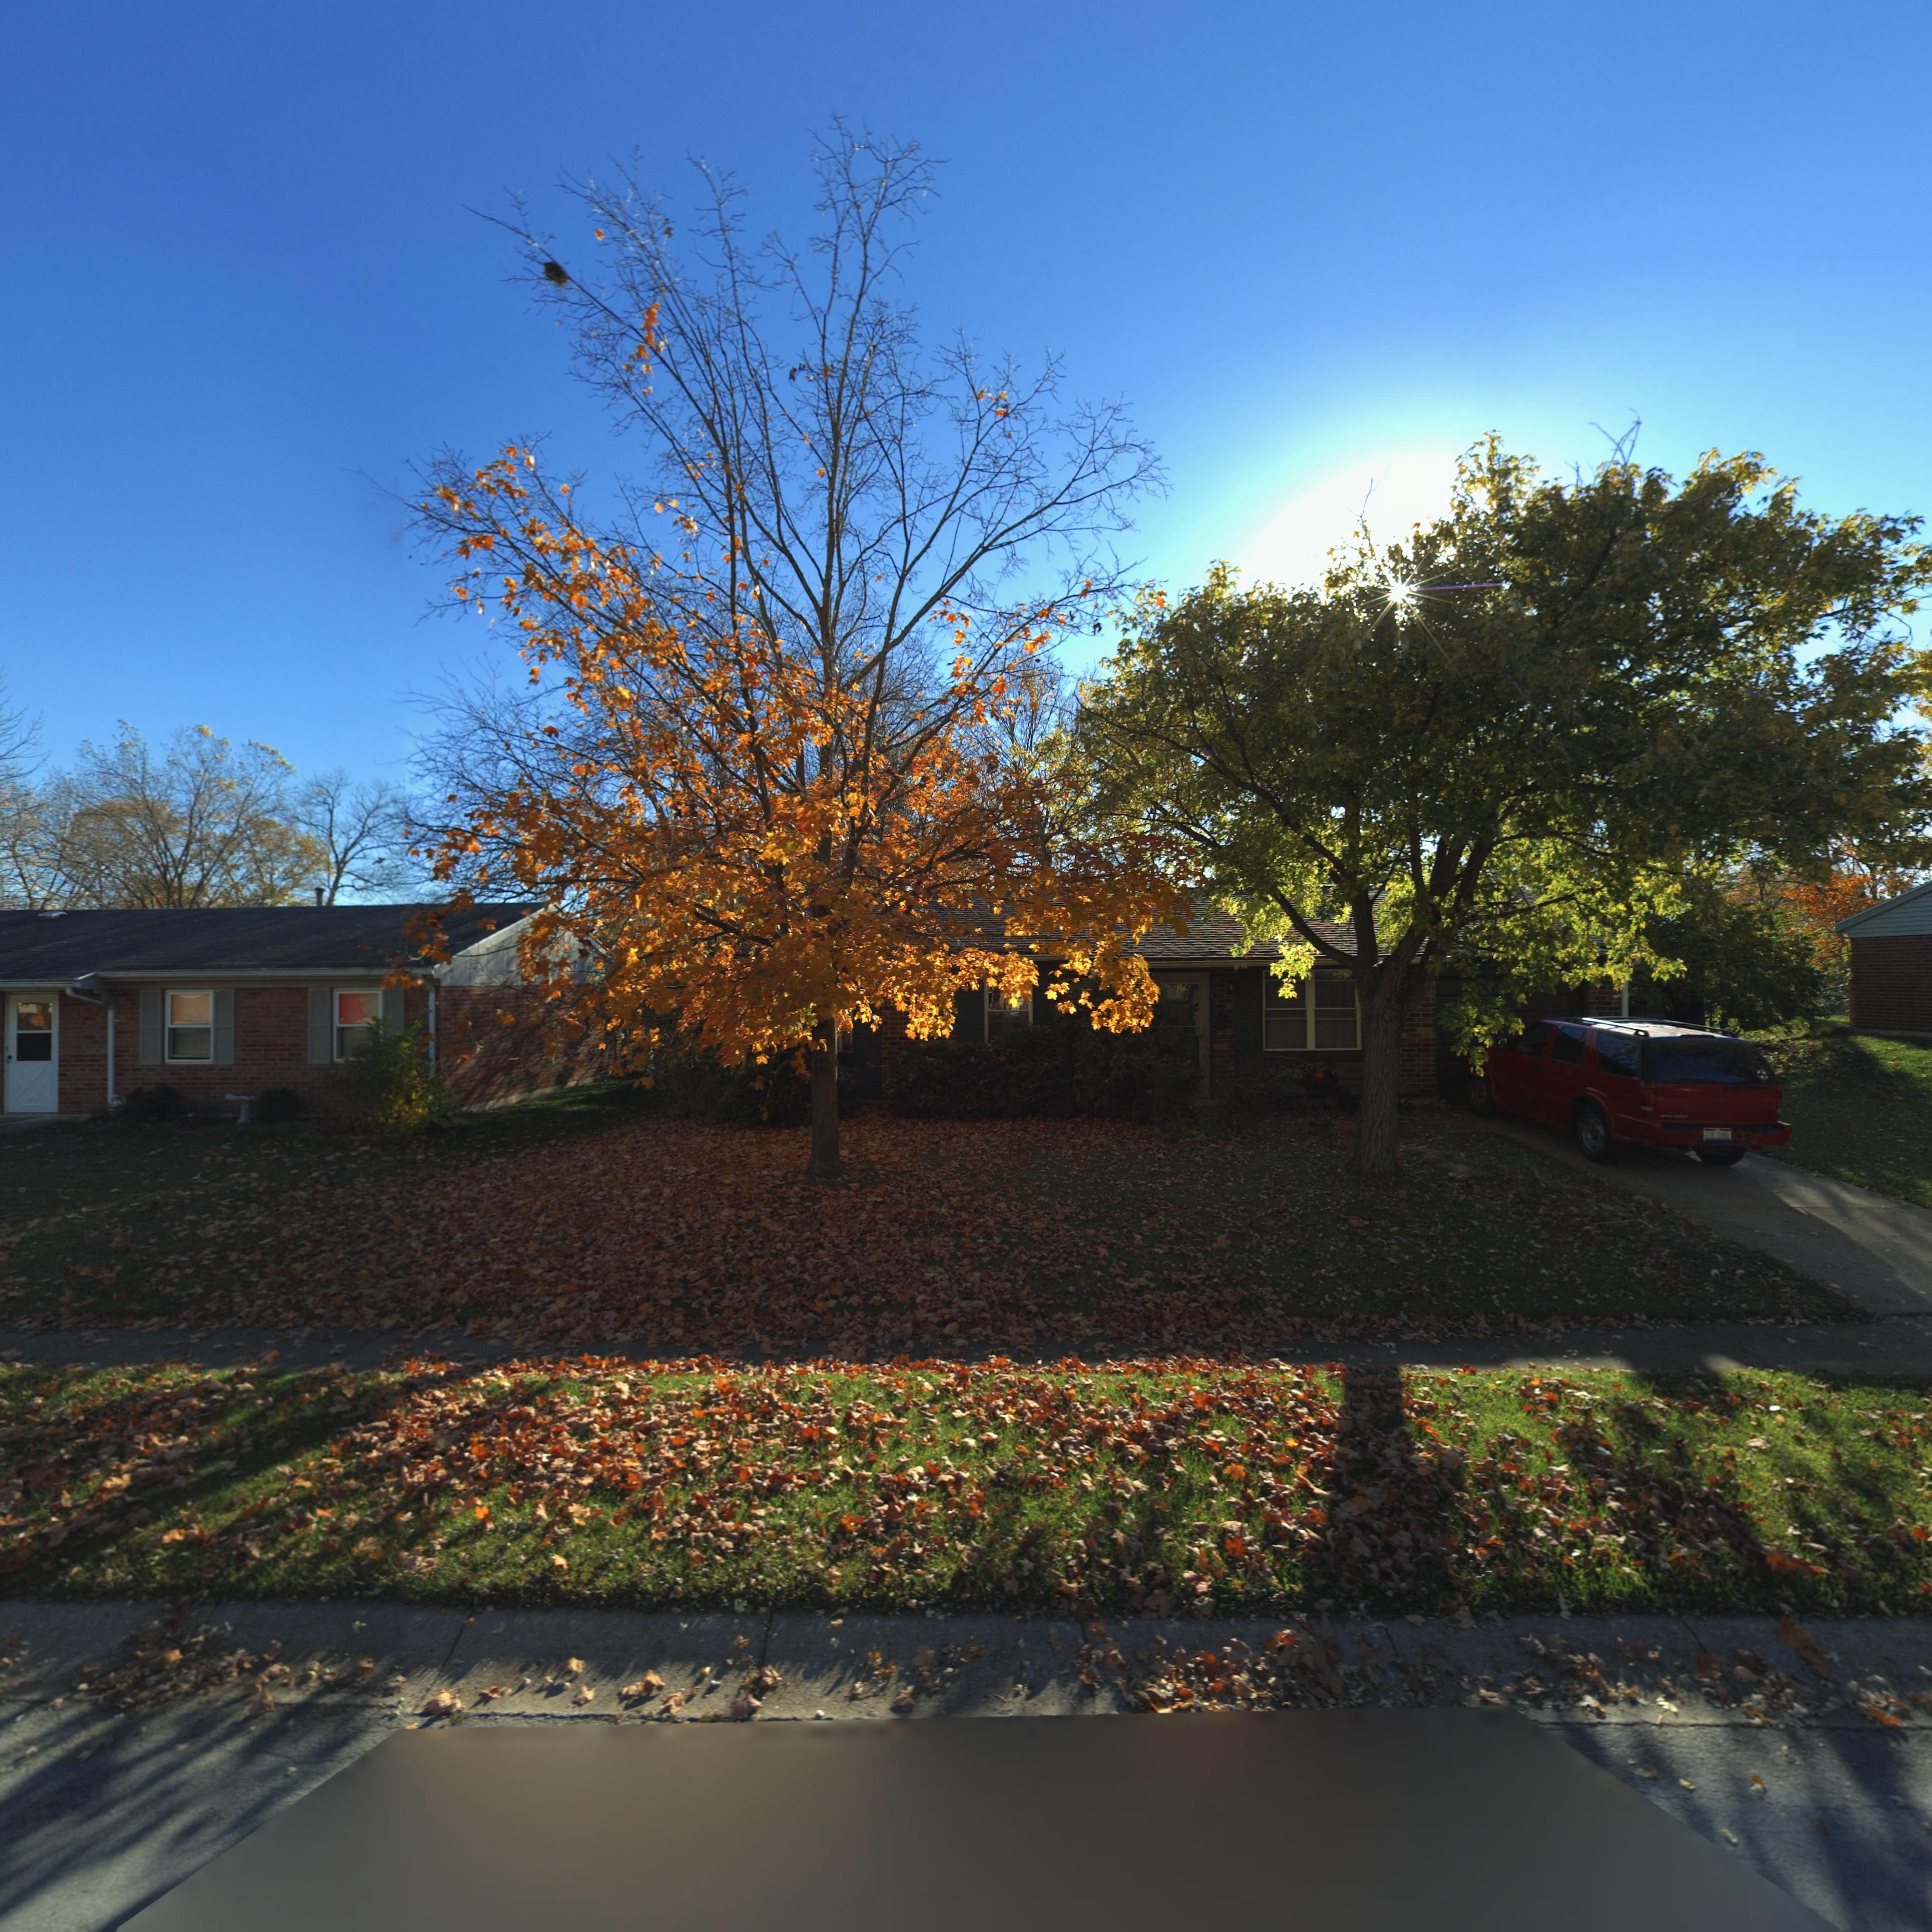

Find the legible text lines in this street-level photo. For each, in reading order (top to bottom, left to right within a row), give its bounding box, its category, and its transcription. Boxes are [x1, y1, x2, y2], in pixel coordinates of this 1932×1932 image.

[1495, 966, 1509, 975] StreetNumber: 50